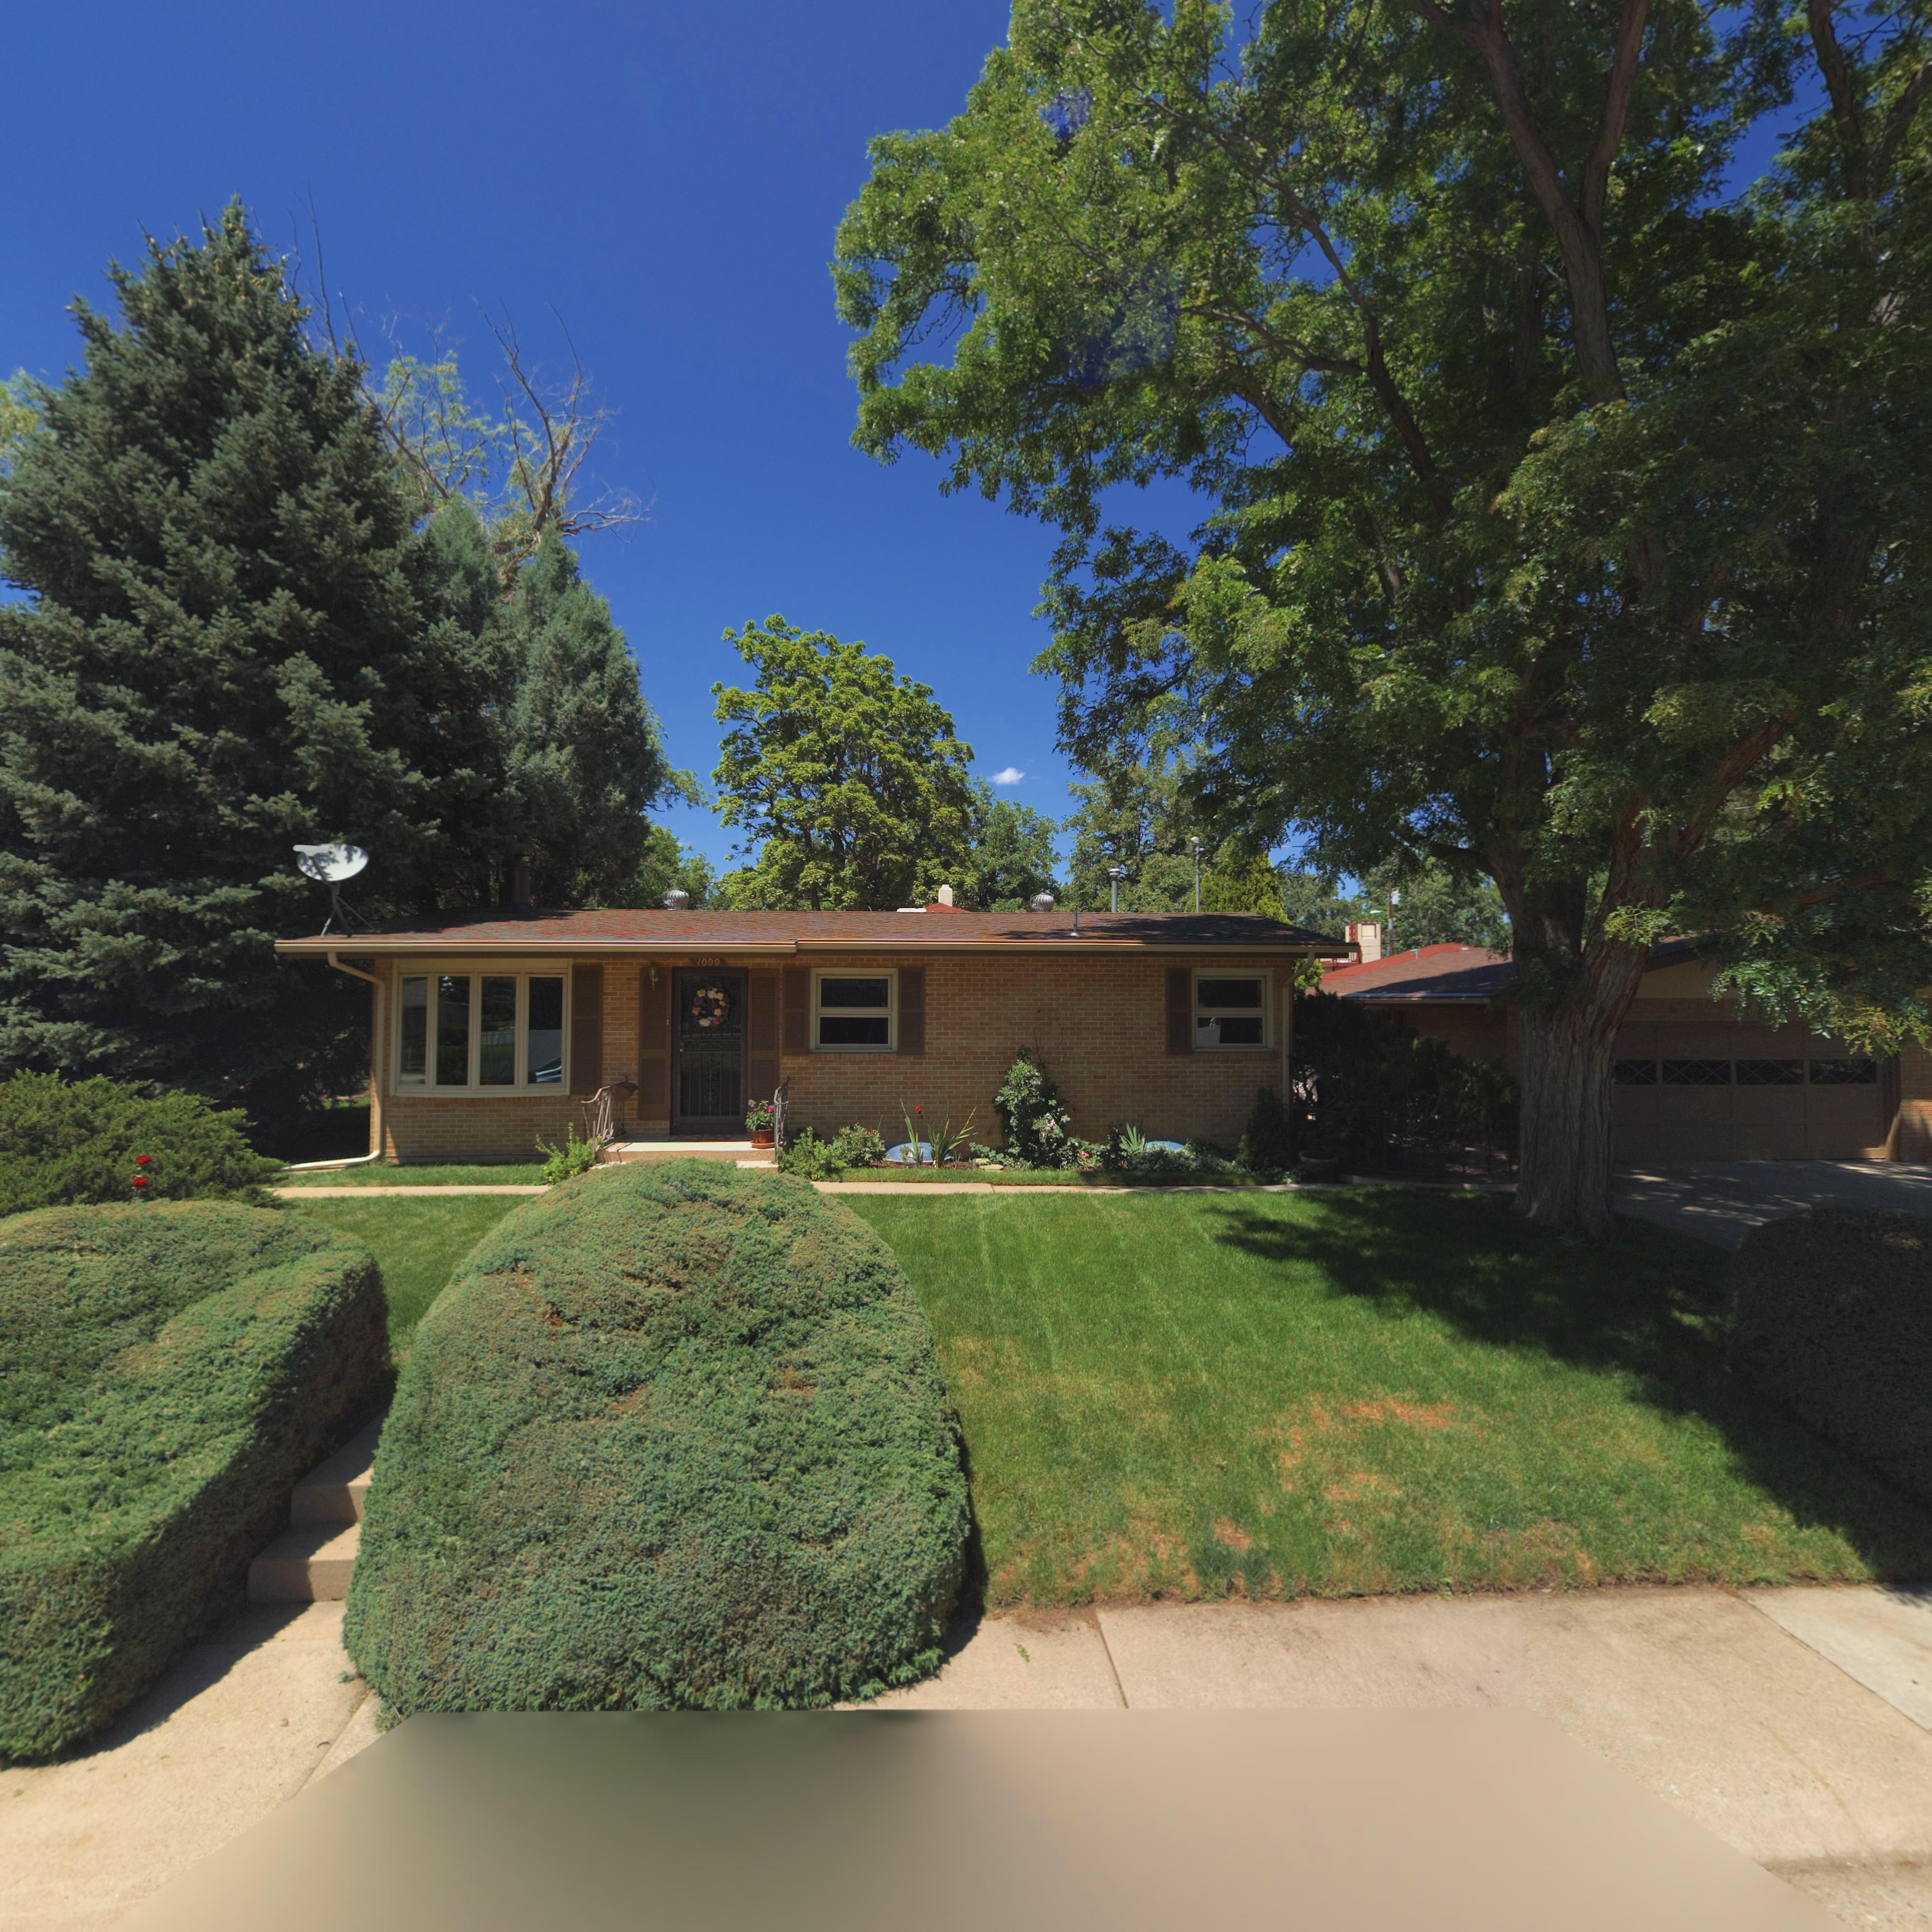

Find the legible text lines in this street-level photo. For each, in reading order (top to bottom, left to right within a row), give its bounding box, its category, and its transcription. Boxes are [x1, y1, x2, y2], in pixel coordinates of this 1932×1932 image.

[697, 957, 719, 966] StreetNumber: 1000